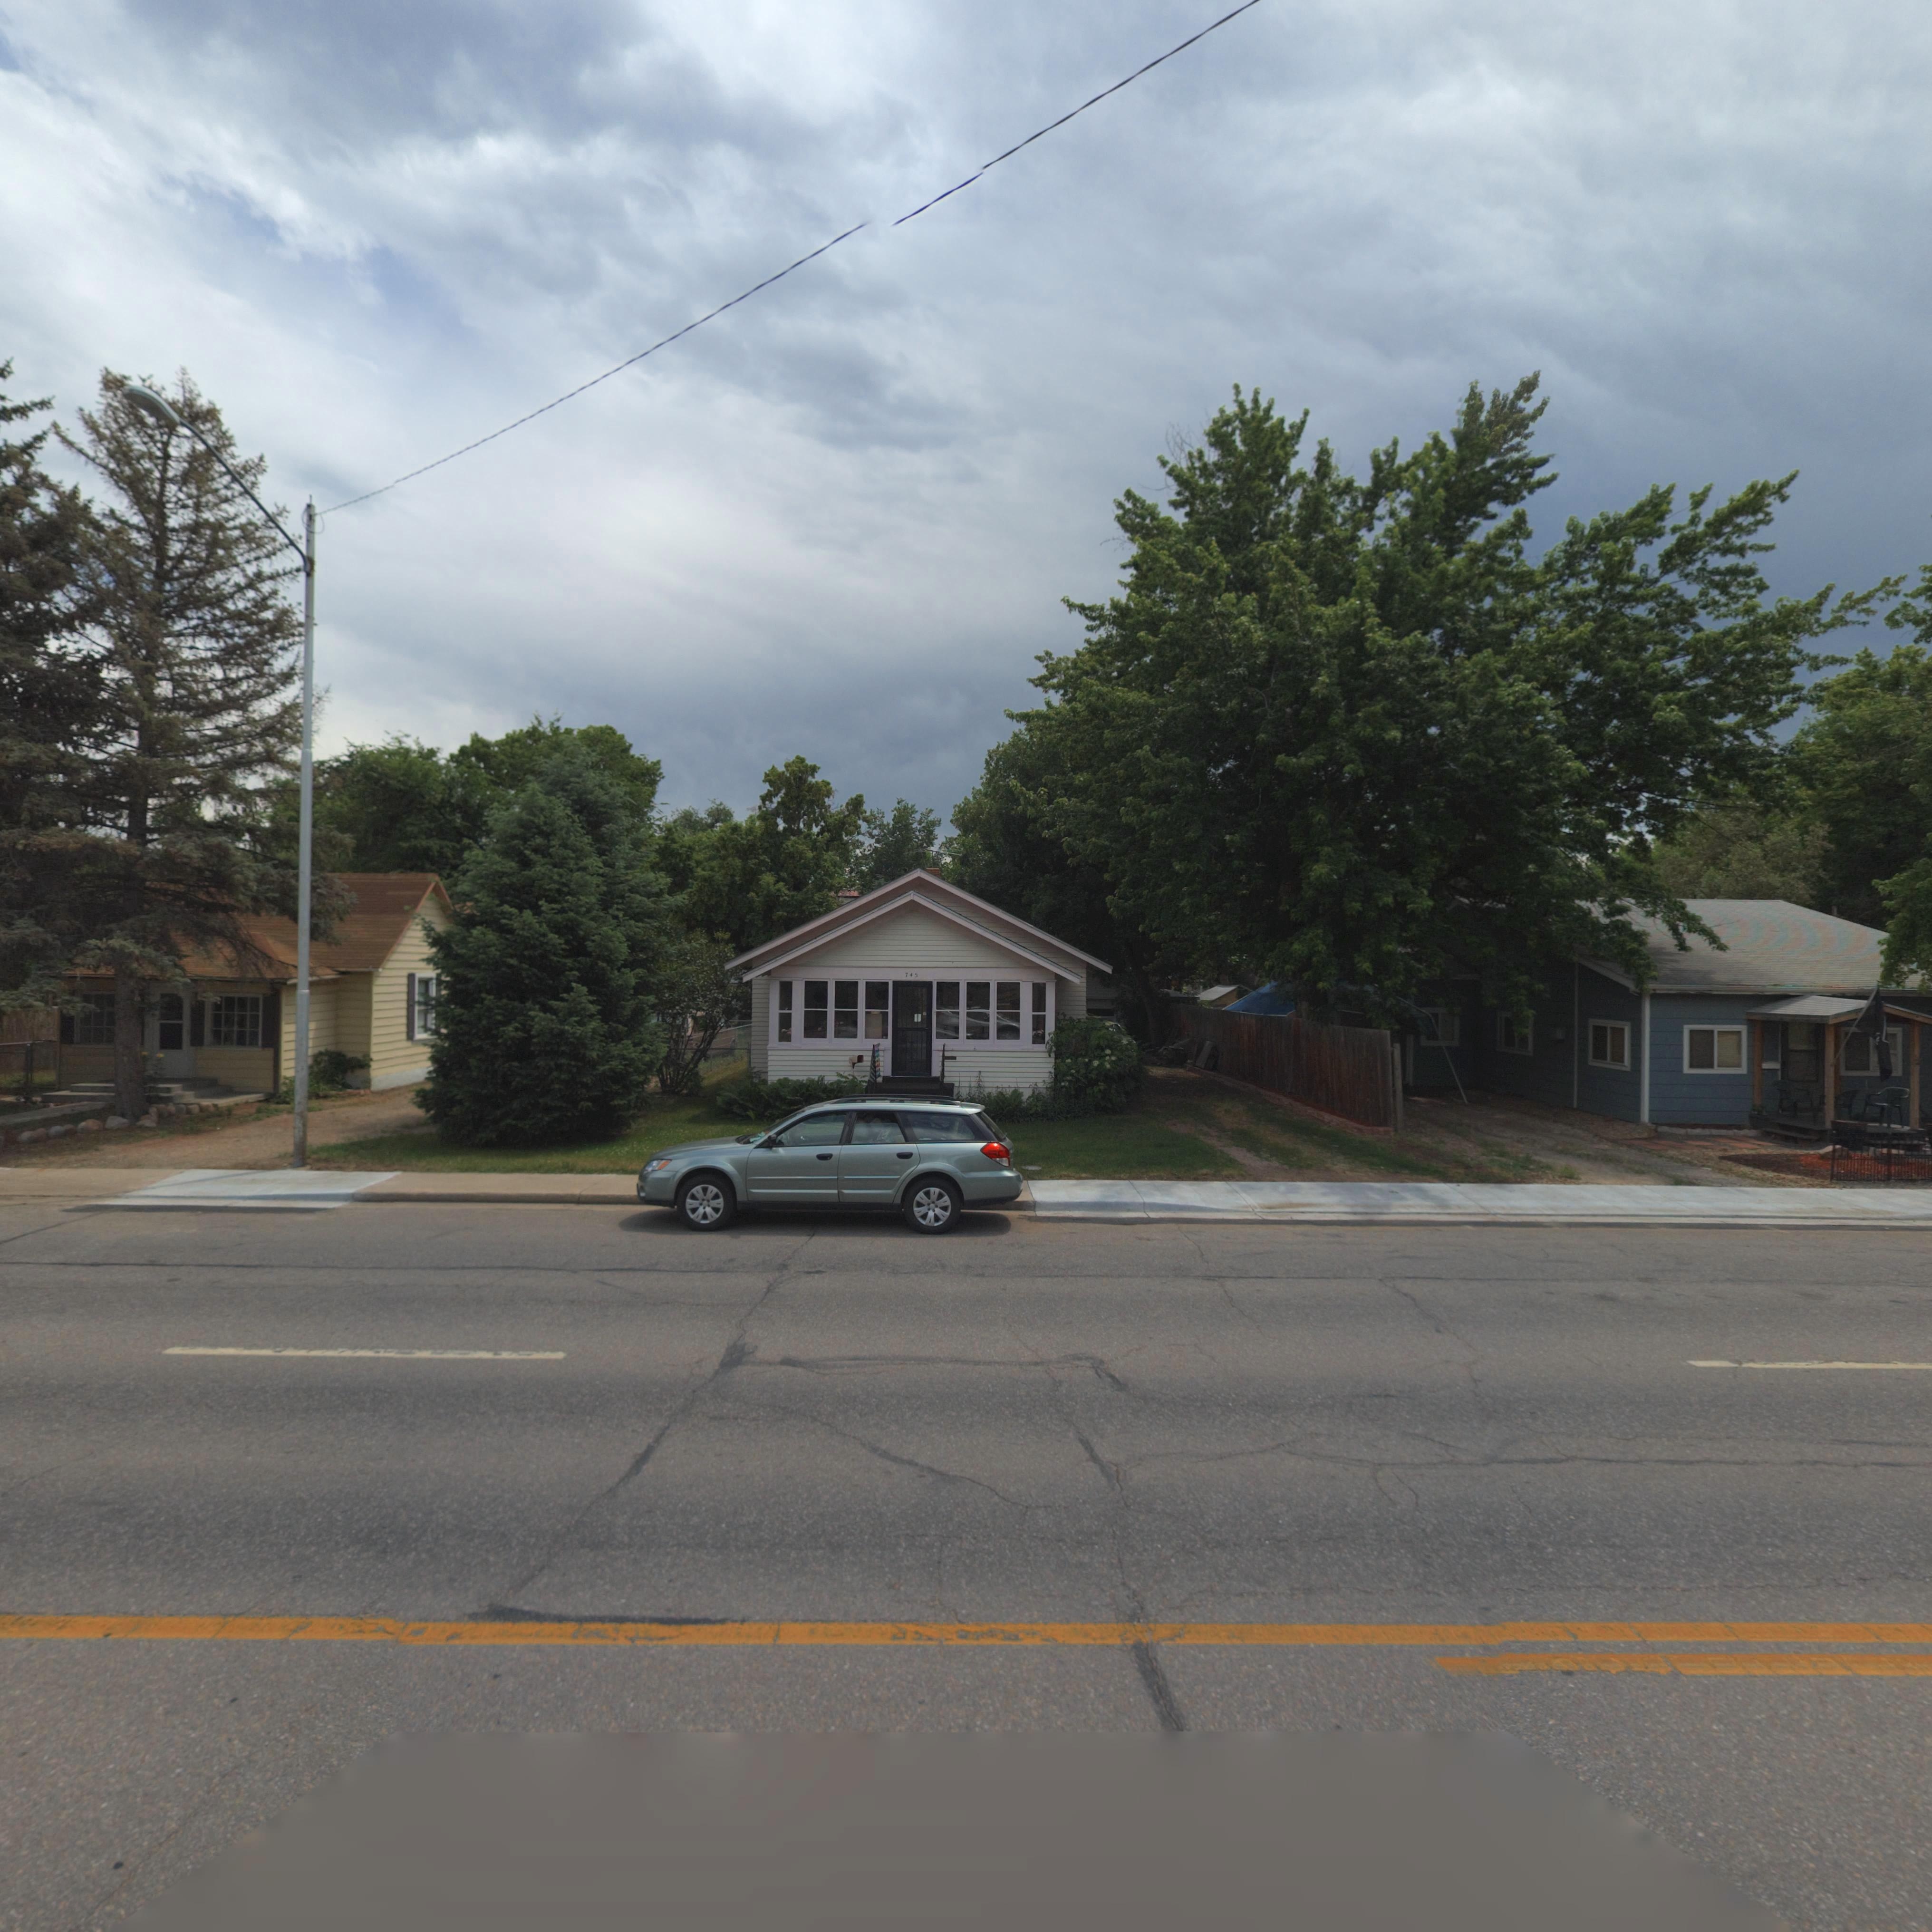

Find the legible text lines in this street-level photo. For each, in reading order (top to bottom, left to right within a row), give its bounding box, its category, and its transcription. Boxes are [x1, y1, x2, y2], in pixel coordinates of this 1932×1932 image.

[905, 972, 917, 977] StreetNumber: 745